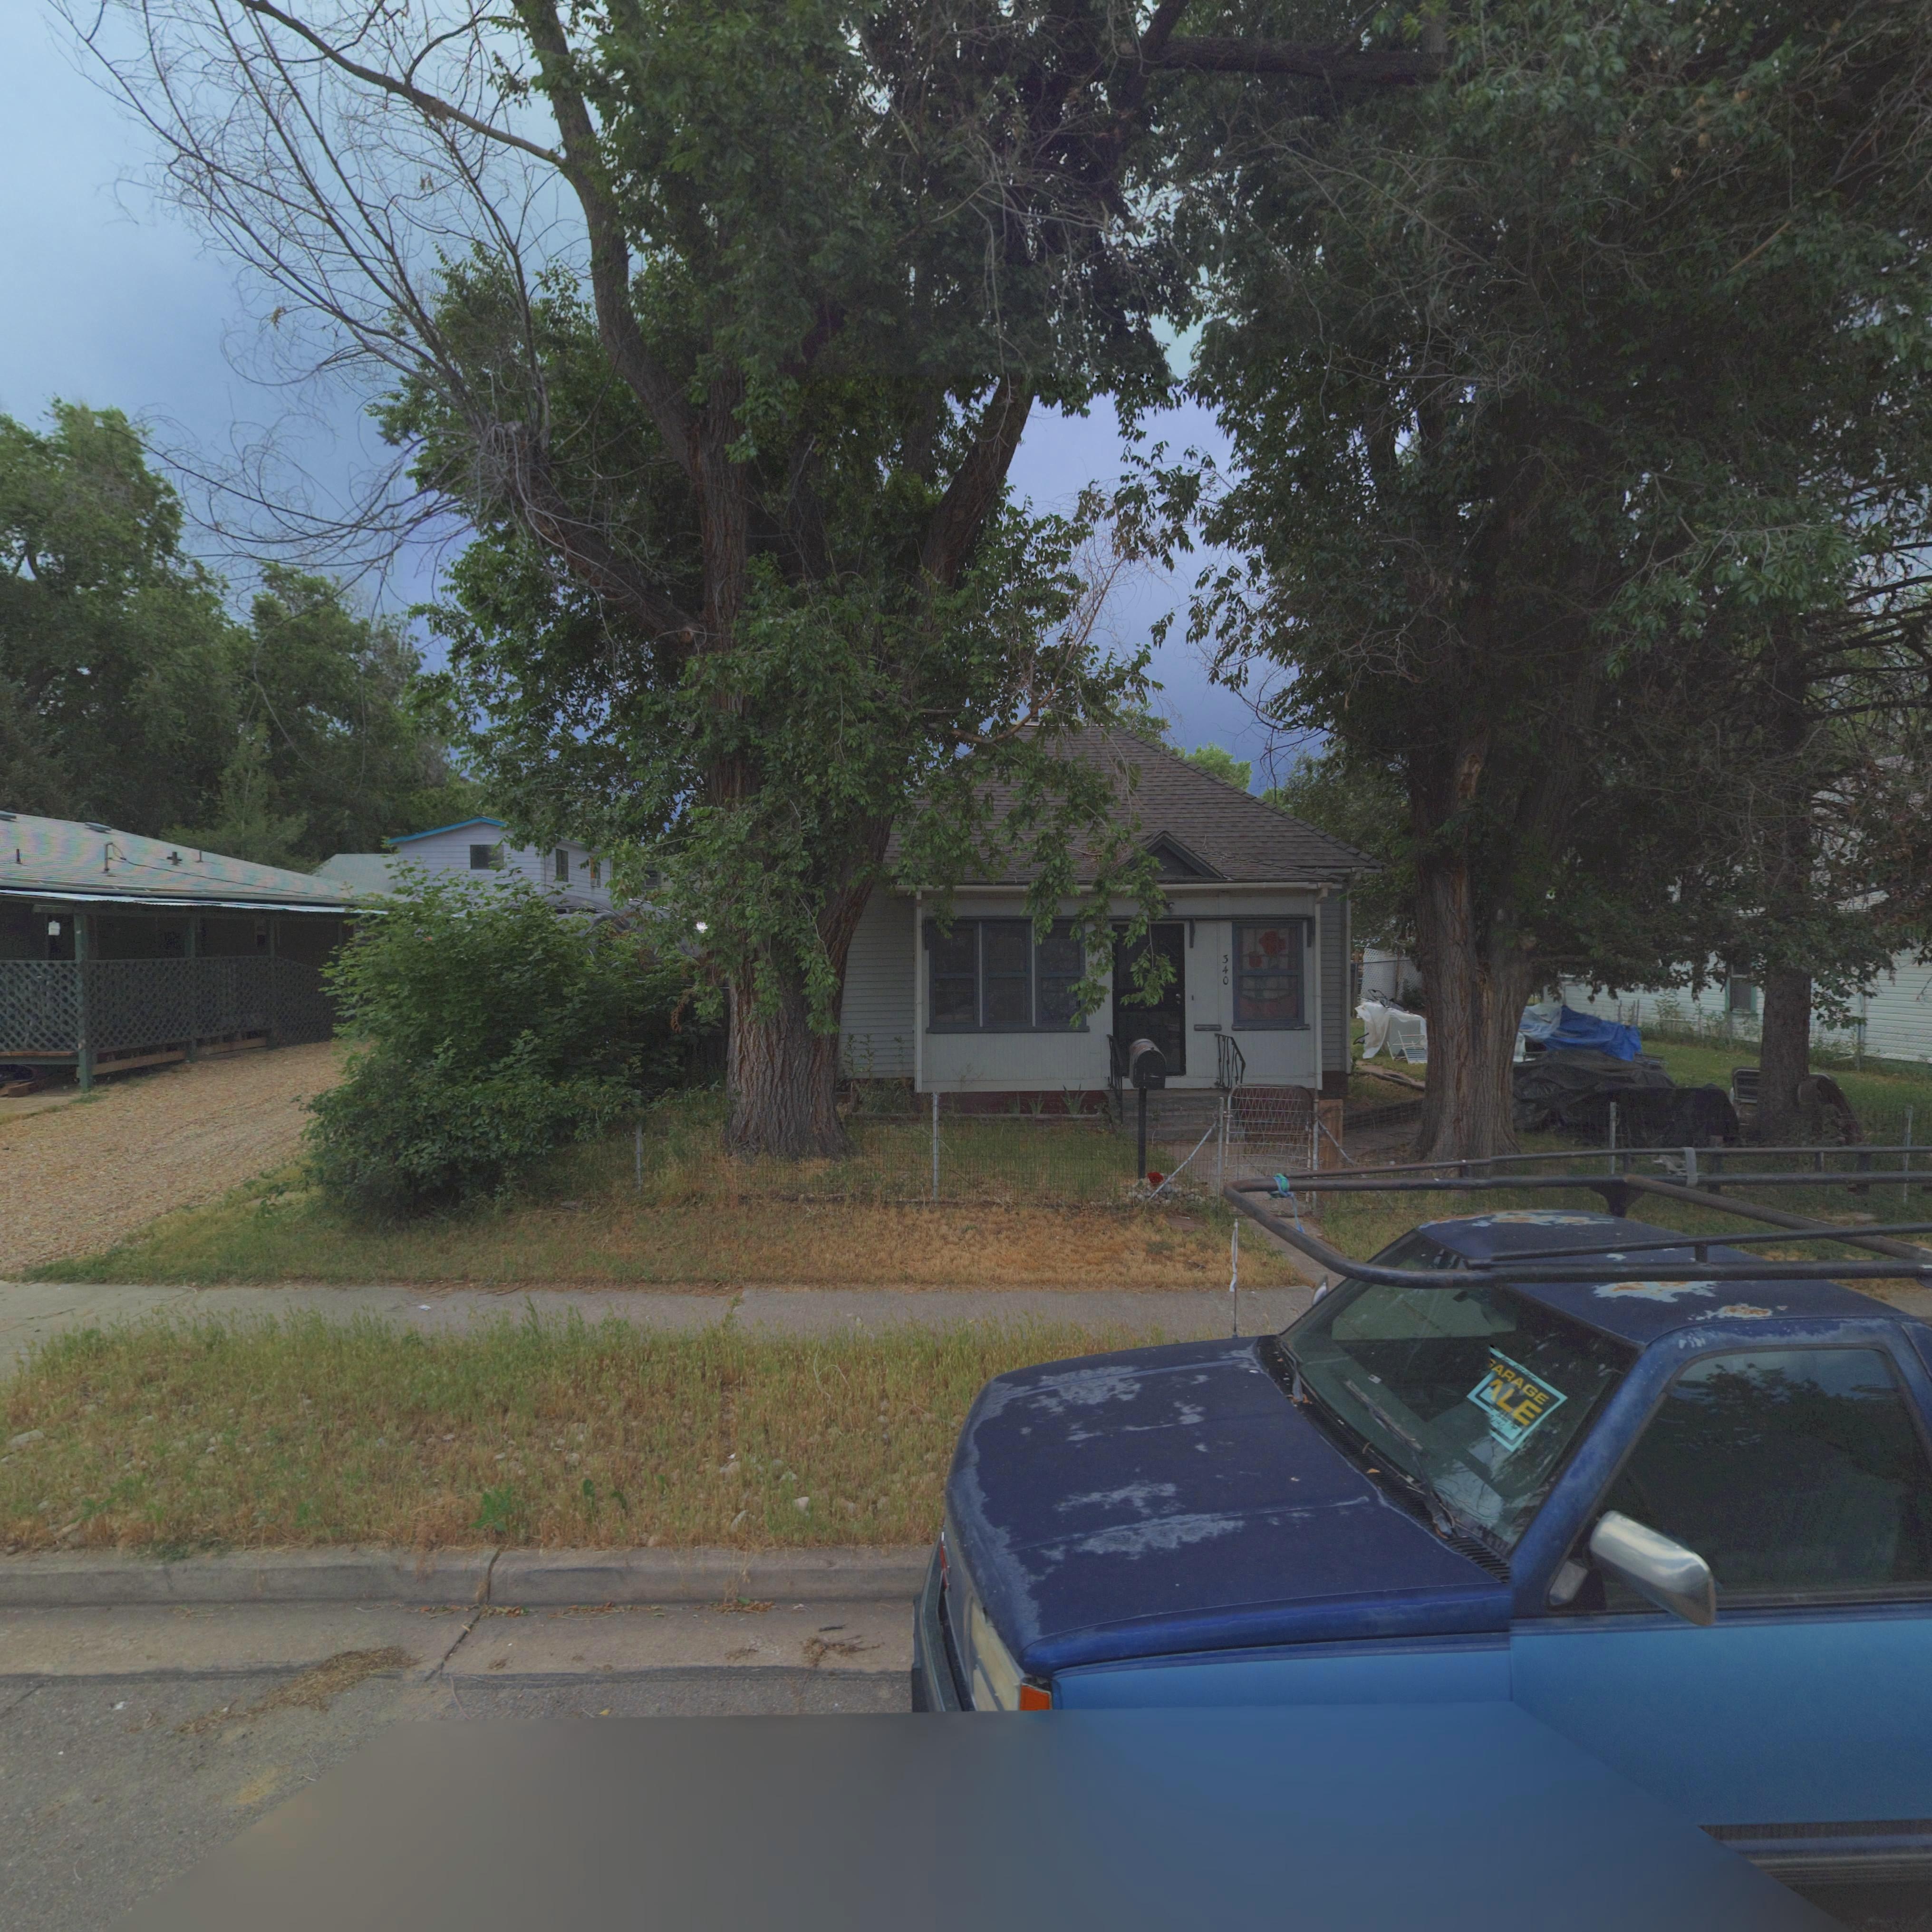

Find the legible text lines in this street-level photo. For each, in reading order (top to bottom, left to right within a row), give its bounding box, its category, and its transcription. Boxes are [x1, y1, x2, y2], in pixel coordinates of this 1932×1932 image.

[1222, 953, 1228, 985] StreetNumber: 340